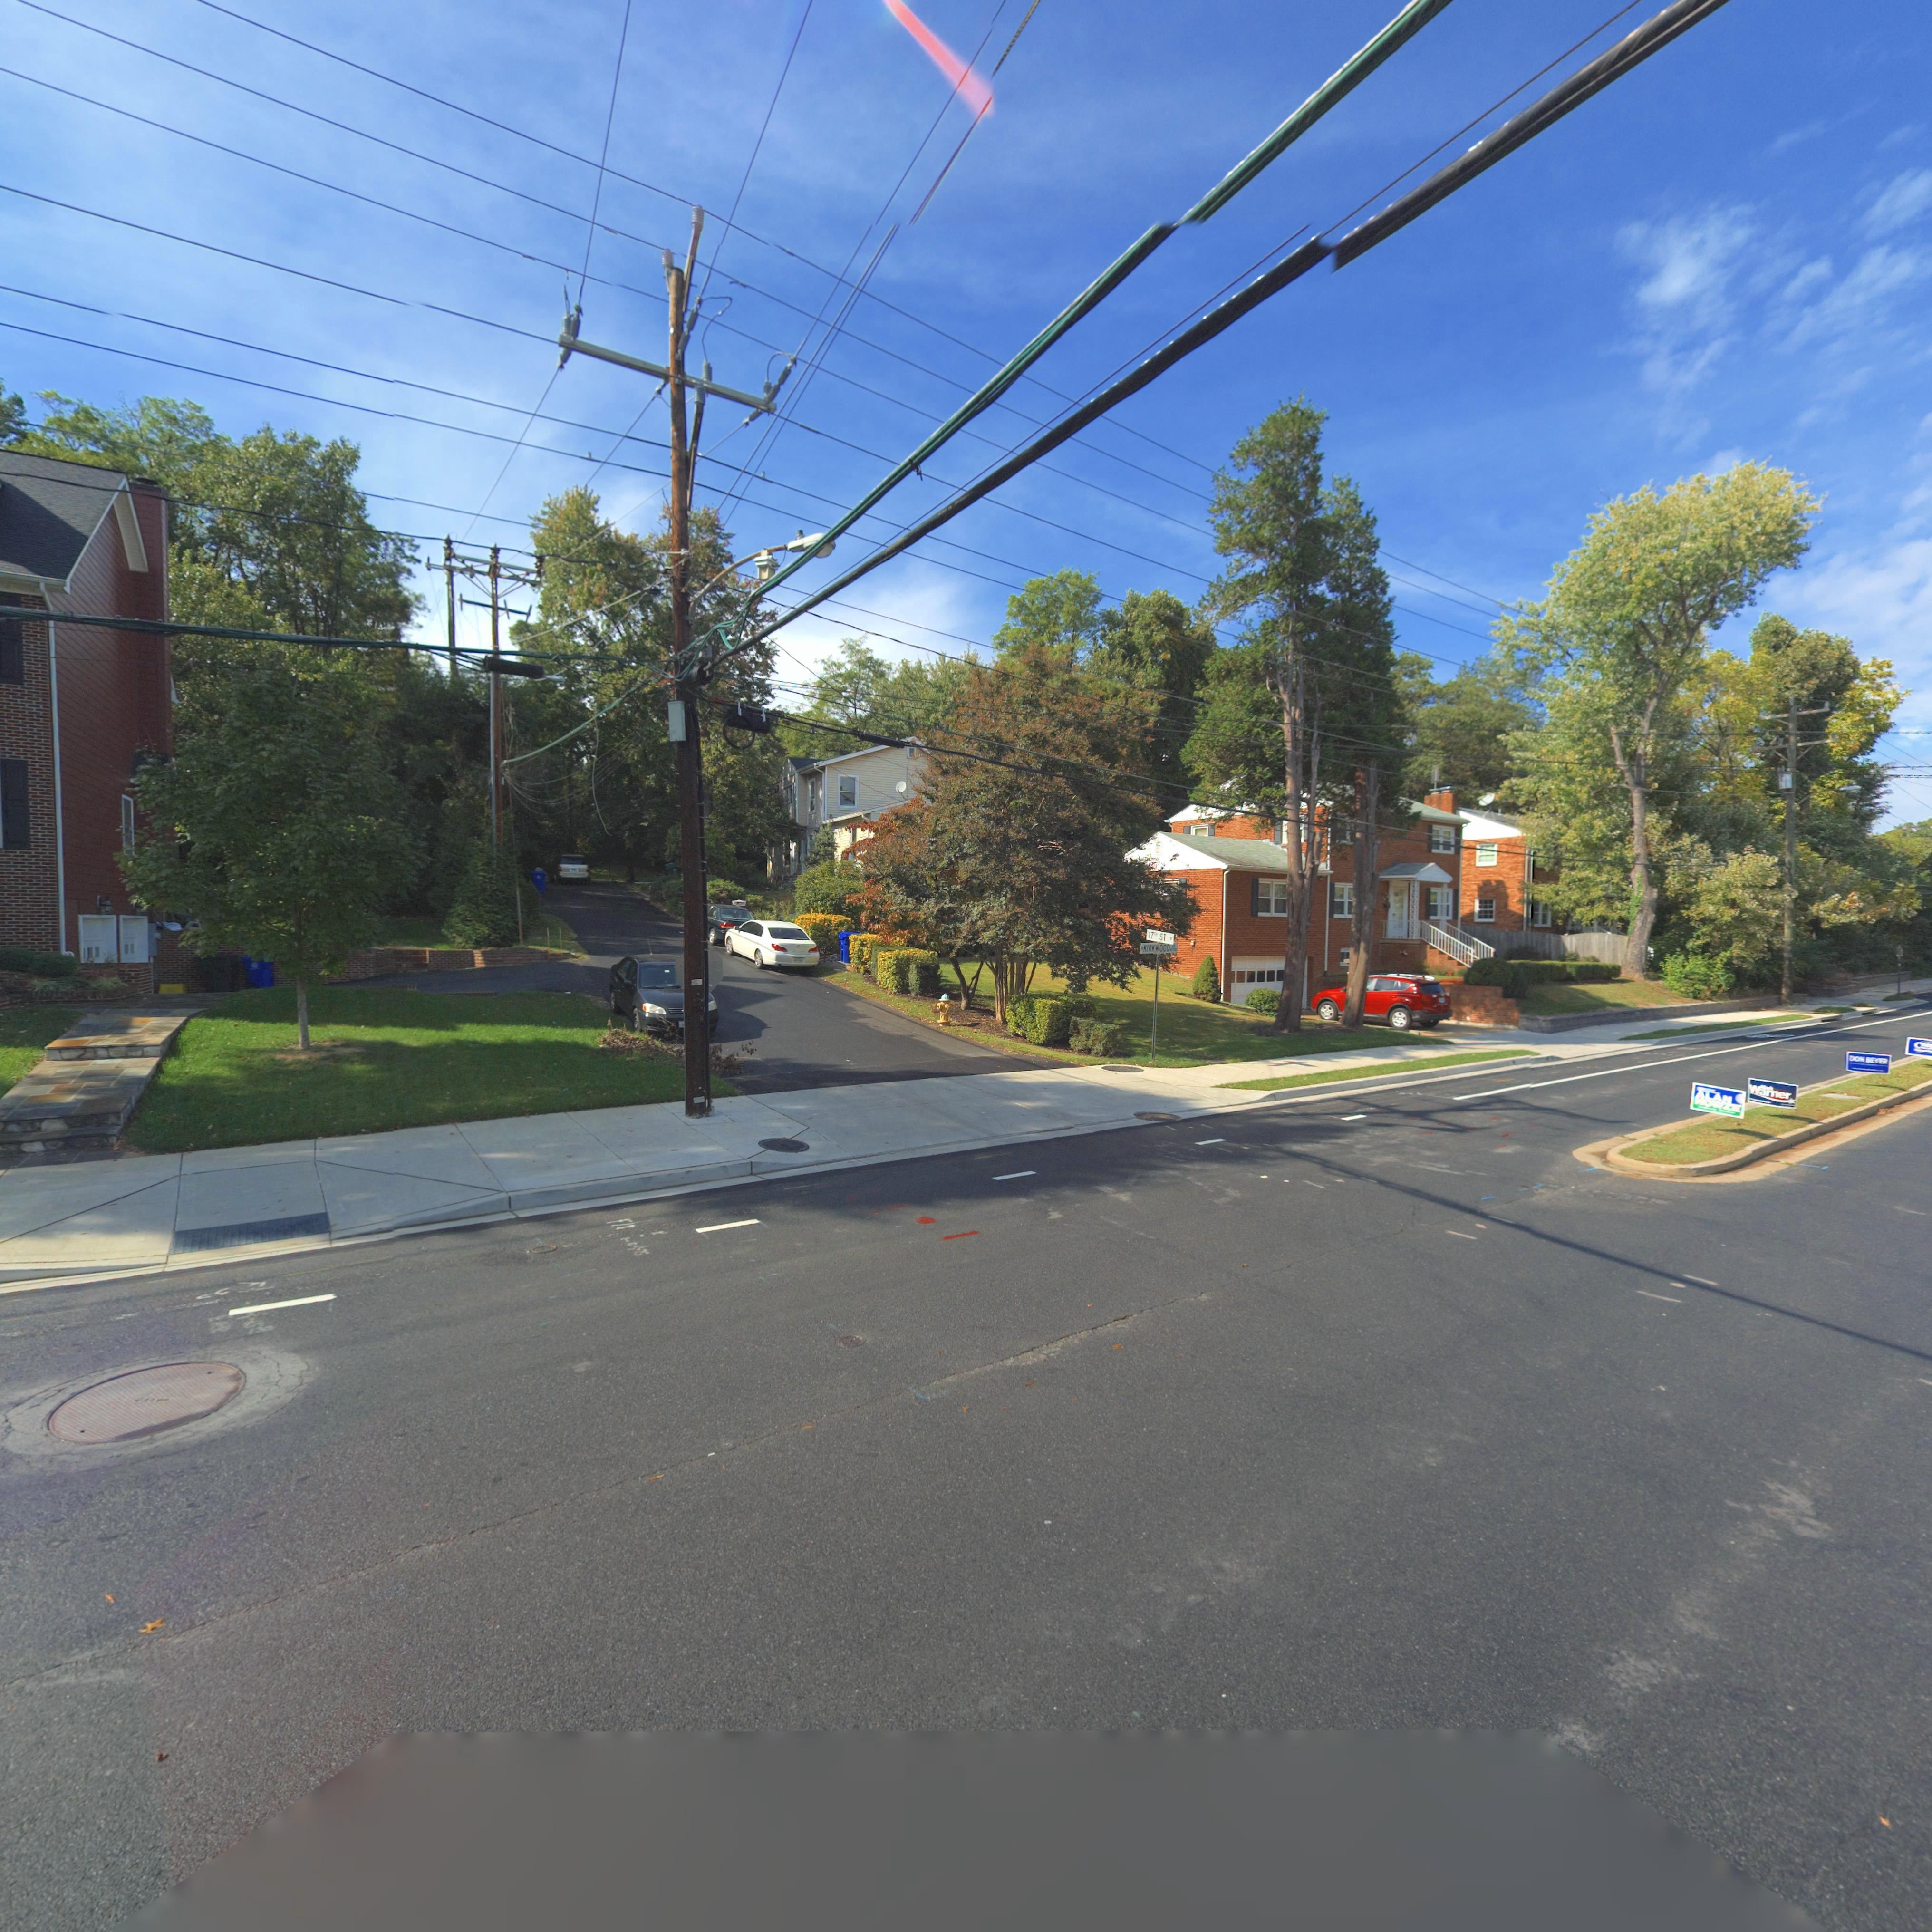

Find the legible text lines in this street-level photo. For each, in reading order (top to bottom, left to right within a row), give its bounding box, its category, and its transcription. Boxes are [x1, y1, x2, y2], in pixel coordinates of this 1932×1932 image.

[1148, 930, 1168, 943] StreetName: 17** ST
[1140, 943, 1170, 953] StreetName: * KIRKWOOD
[1694, 1089, 1733, 1105] None: ALAN
[1693, 1095, 1742, 1114] None: HOWZE
[1747, 1083, 1793, 1101] None: Warner